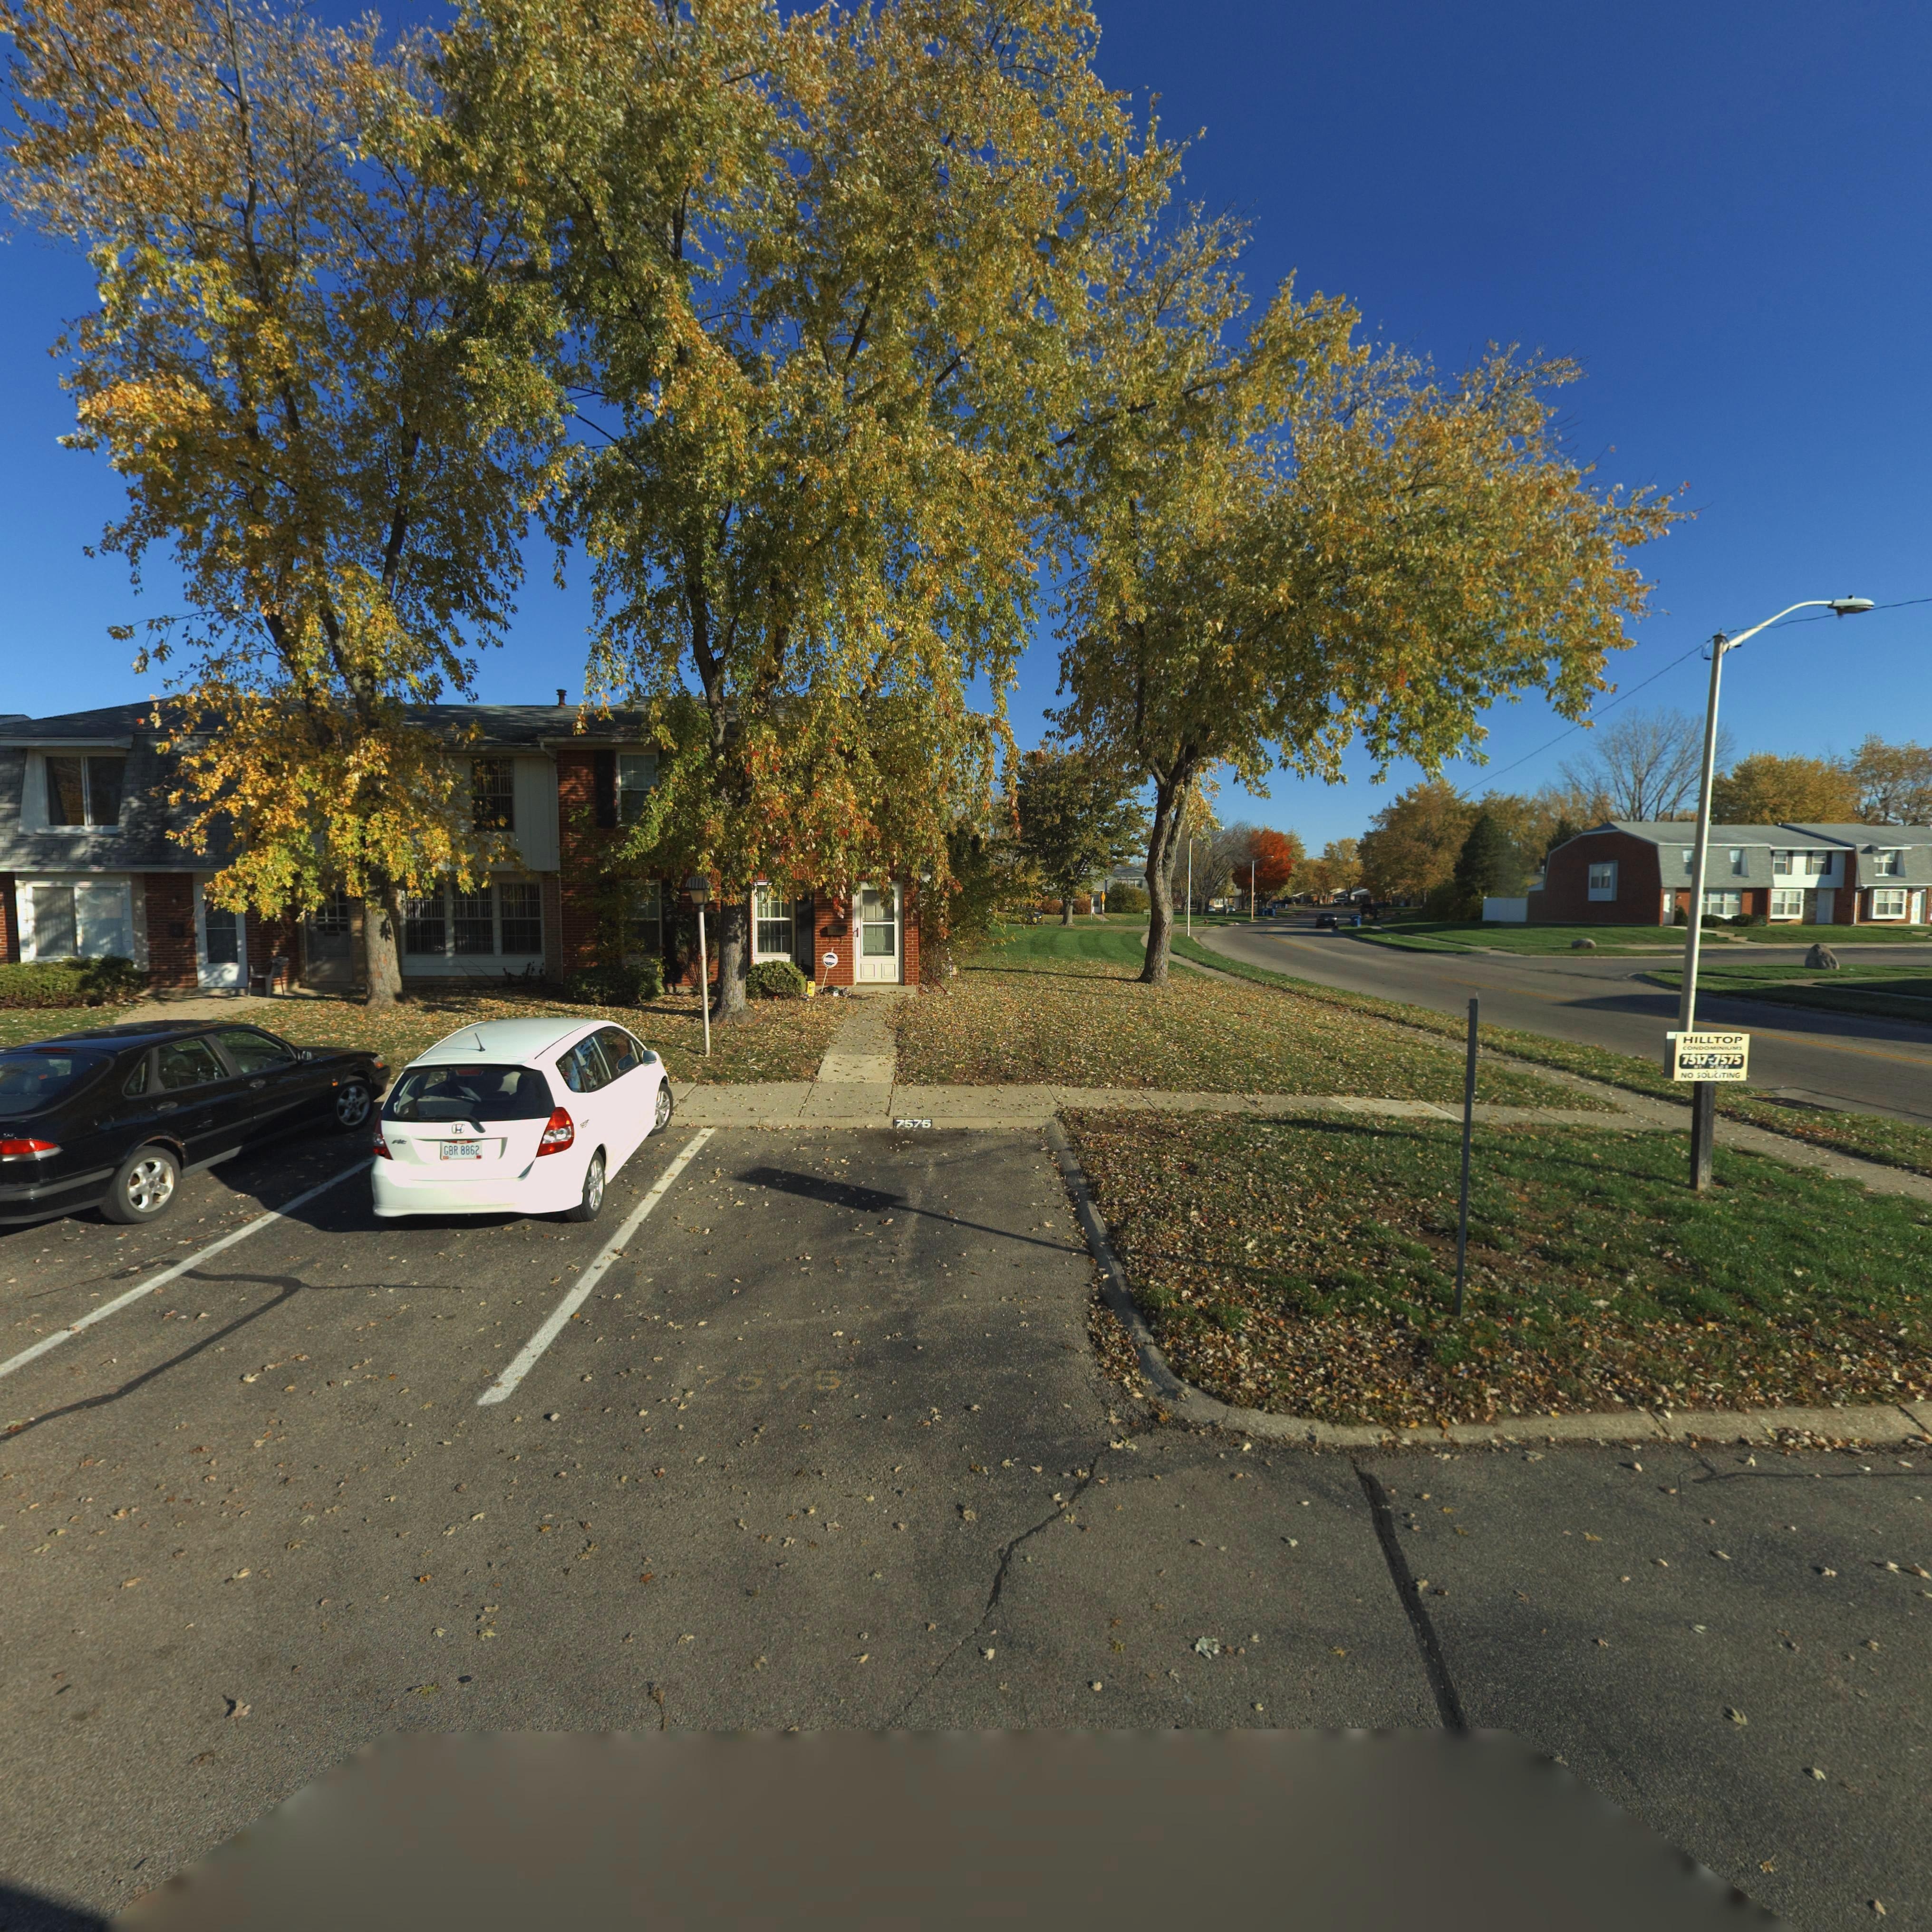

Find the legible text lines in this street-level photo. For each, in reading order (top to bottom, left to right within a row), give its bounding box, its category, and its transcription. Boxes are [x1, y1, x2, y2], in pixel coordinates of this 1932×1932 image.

[222, 908, 227, 927] StreetNumber: 7571
[895, 1119, 932, 1129] StreetNumber: 7575